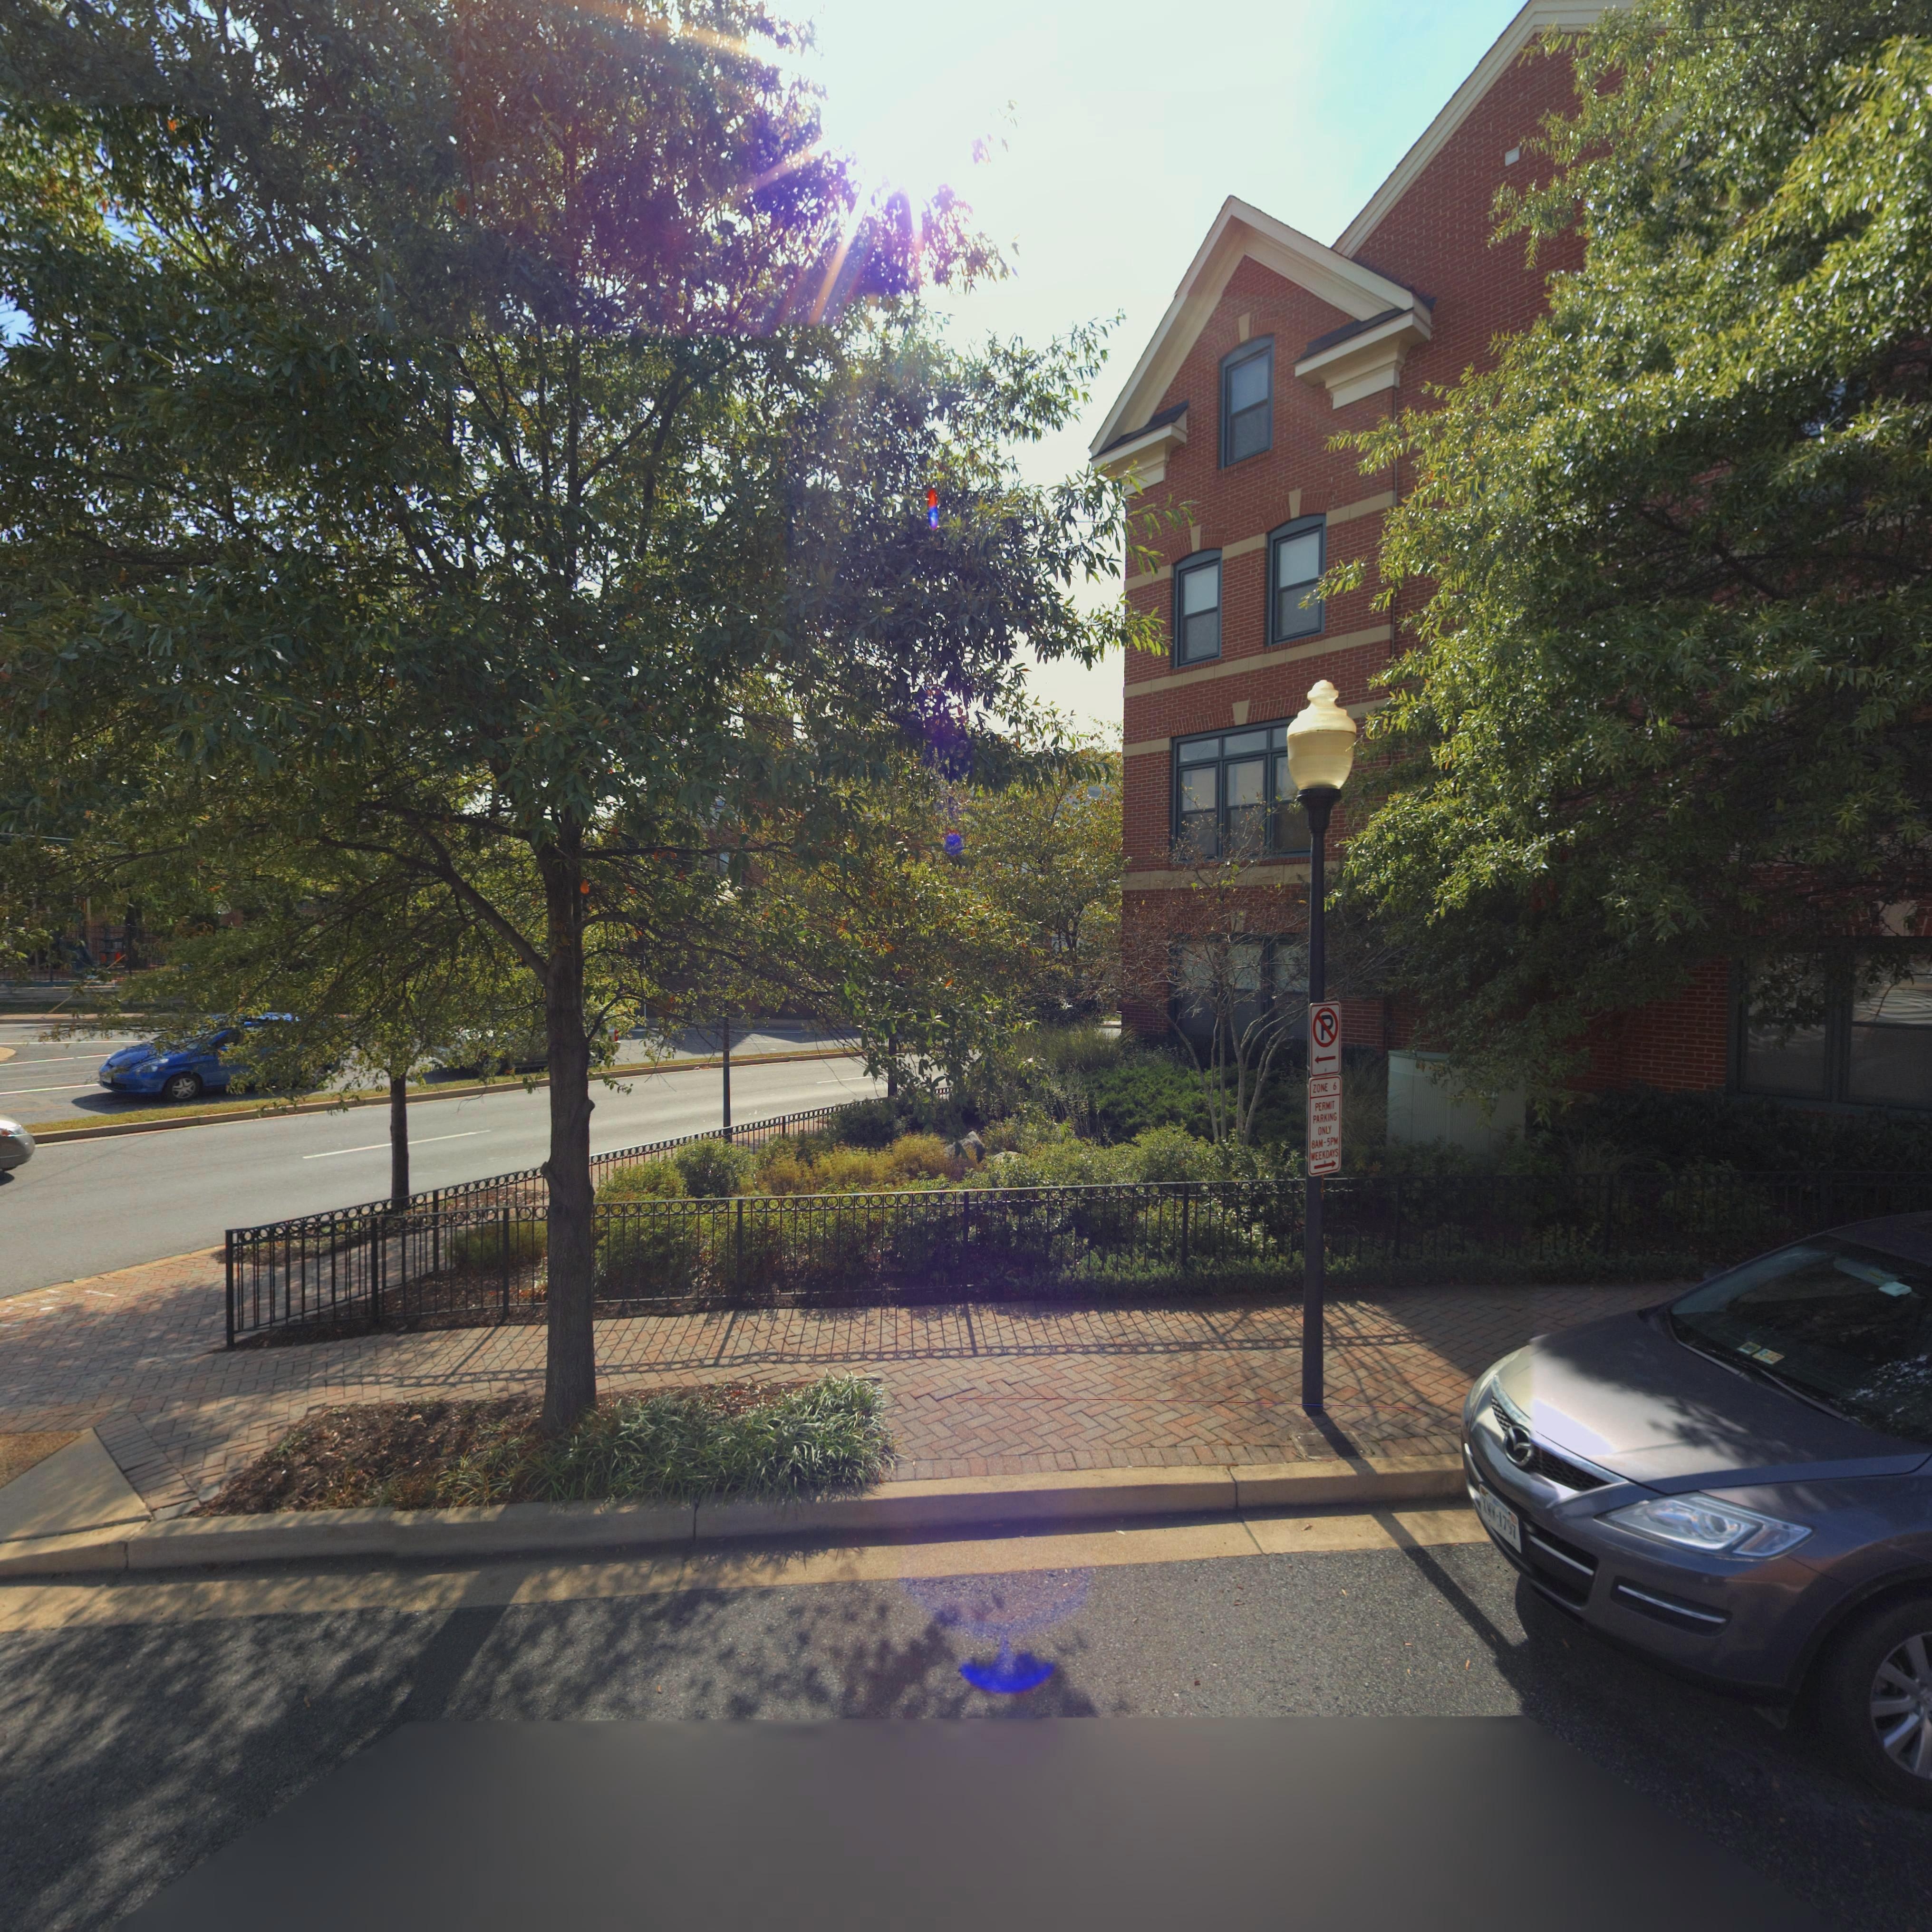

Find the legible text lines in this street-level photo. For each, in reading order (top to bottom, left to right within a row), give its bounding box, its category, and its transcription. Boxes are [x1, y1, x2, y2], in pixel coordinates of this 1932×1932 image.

[1313, 1082, 1337, 1093] None: ZONE 6
[1314, 1100, 1335, 1112] None: PERMIT
[1312, 1111, 1337, 1125] None: PARKING
[1317, 1124, 1332, 1136] None: ONLY
[1311, 1136, 1338, 1150] None: 8AM-5PM
[1310, 1148, 1339, 1162] None: WEEKDAYS
[1320, 1180, 1324, 1193] None: 10
[1482, 1496, 1517, 1541] None: XMW-1797